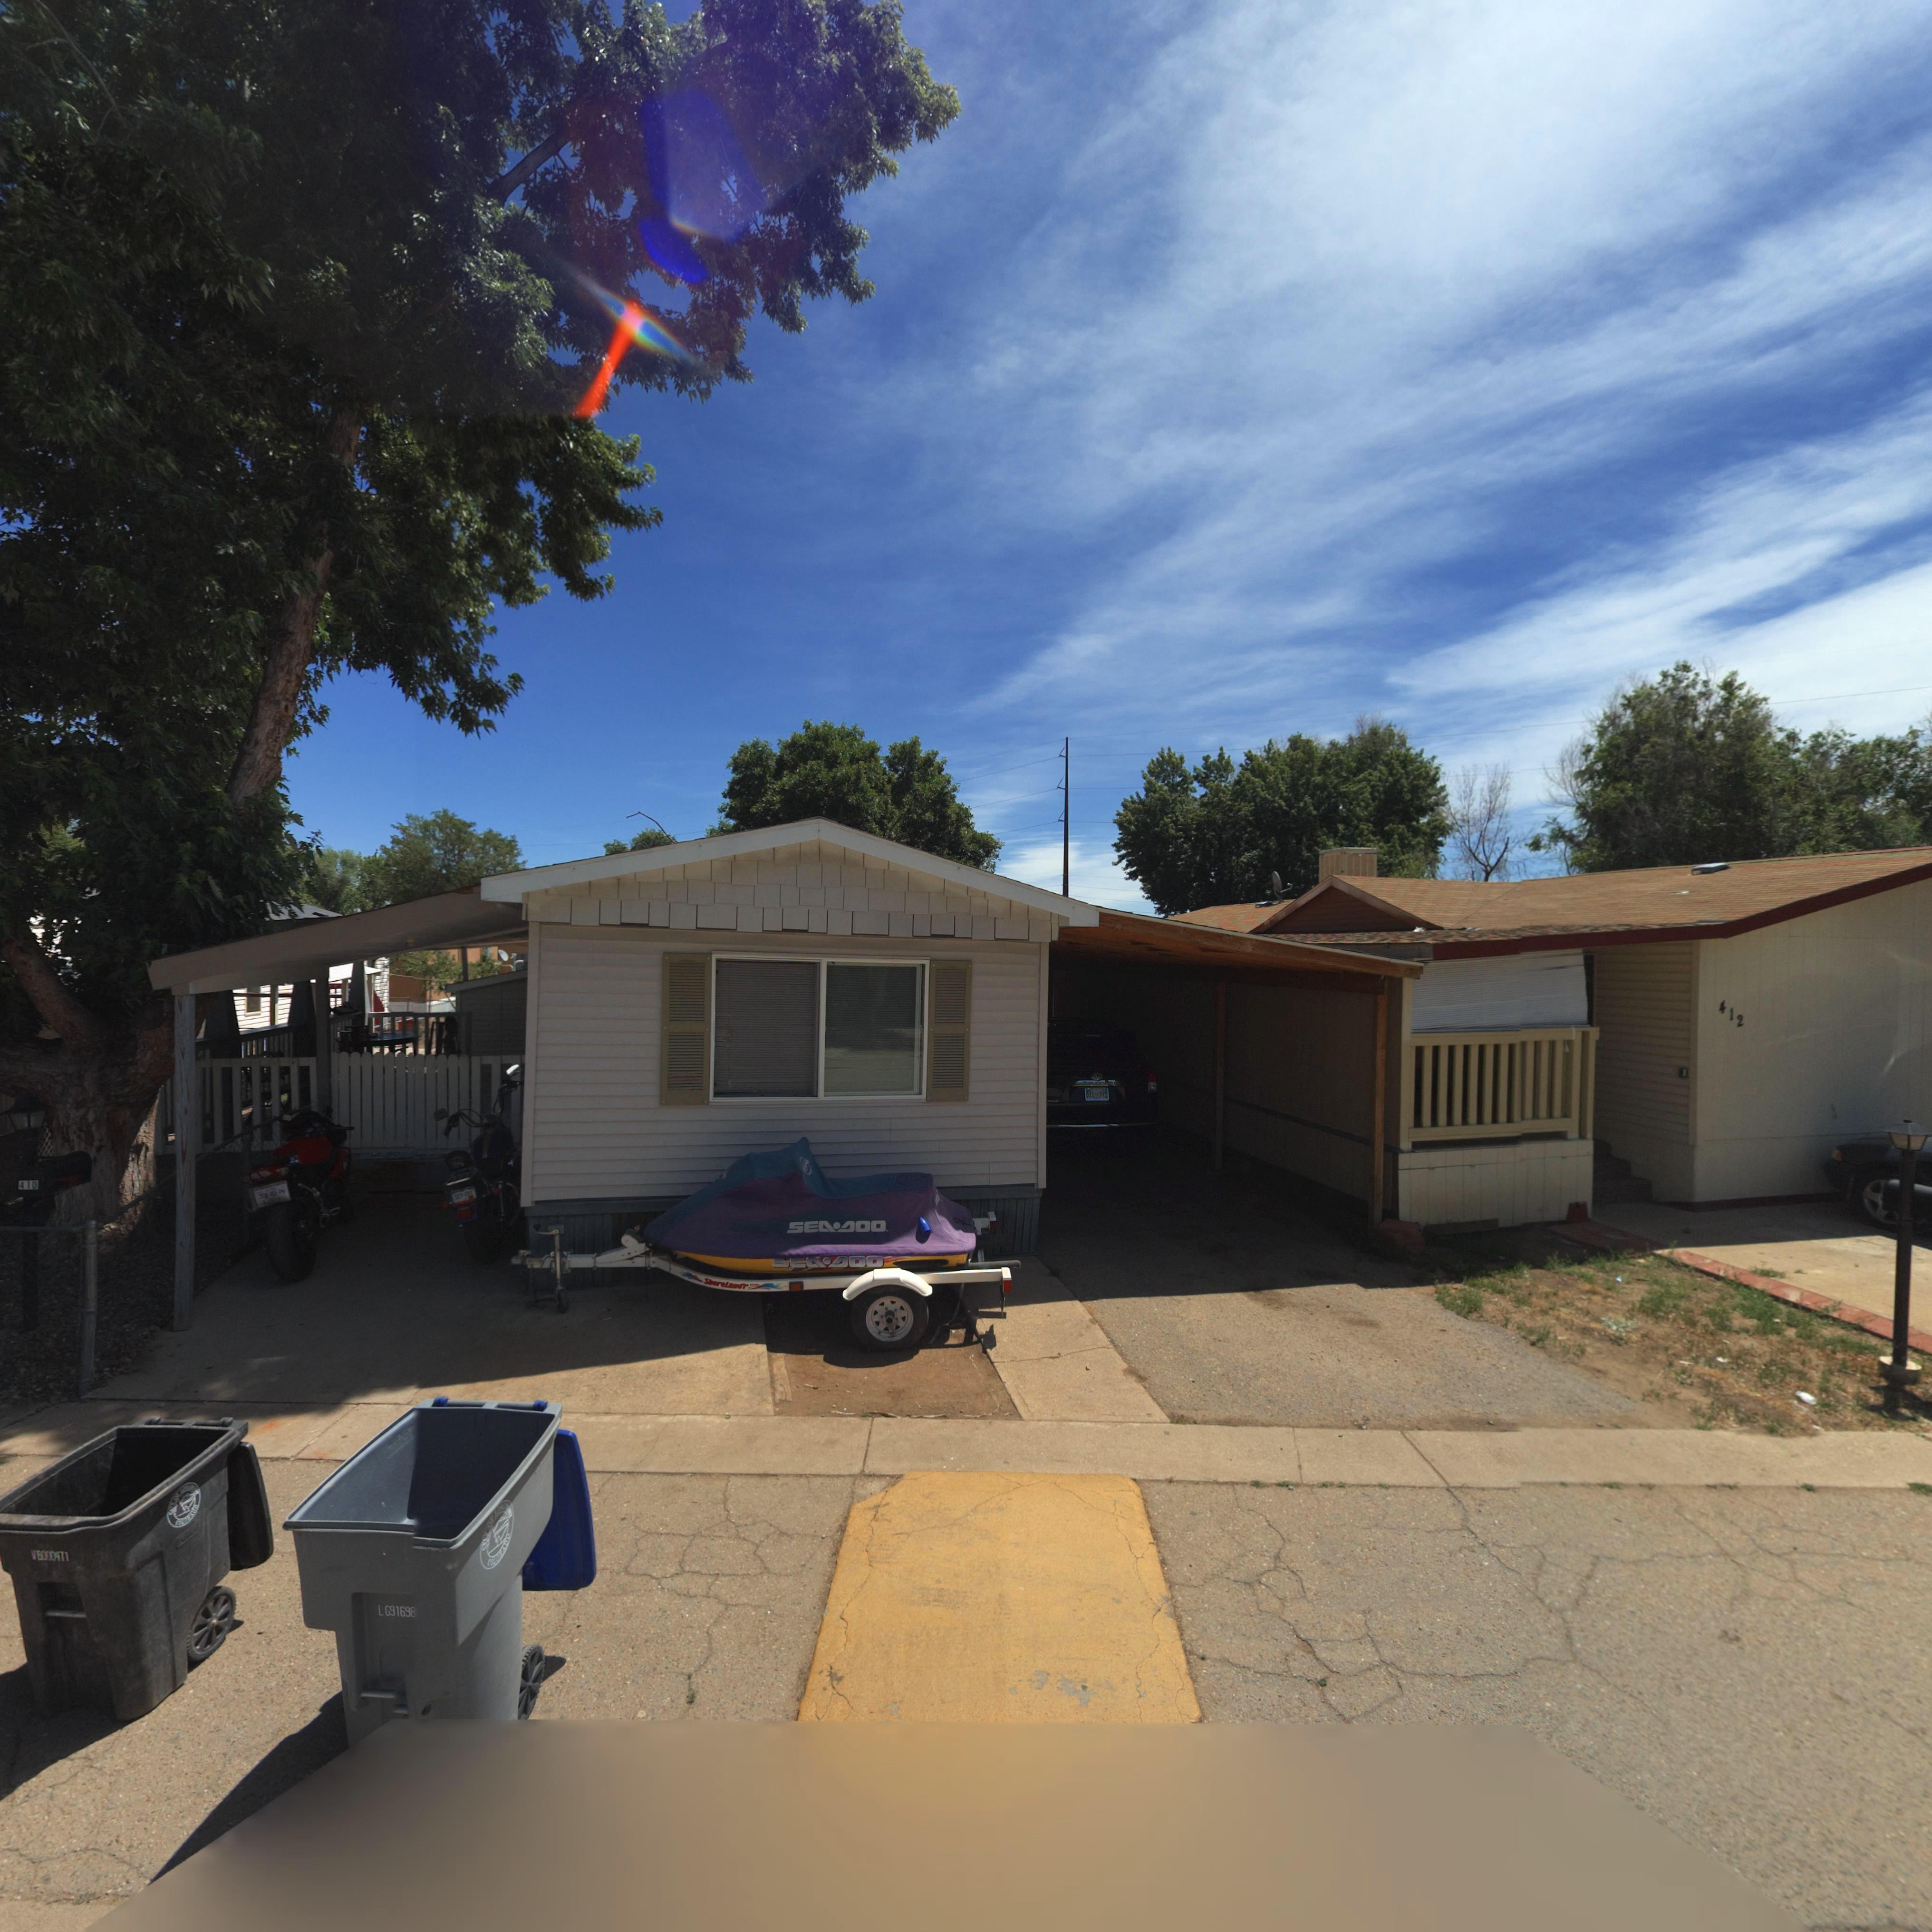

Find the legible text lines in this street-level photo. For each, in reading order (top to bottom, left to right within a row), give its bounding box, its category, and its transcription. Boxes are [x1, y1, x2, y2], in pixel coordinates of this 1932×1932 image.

[1719, 999, 1744, 1027] StreetNumber: 412
[19, 1180, 36, 1189] StreetNumber: 410